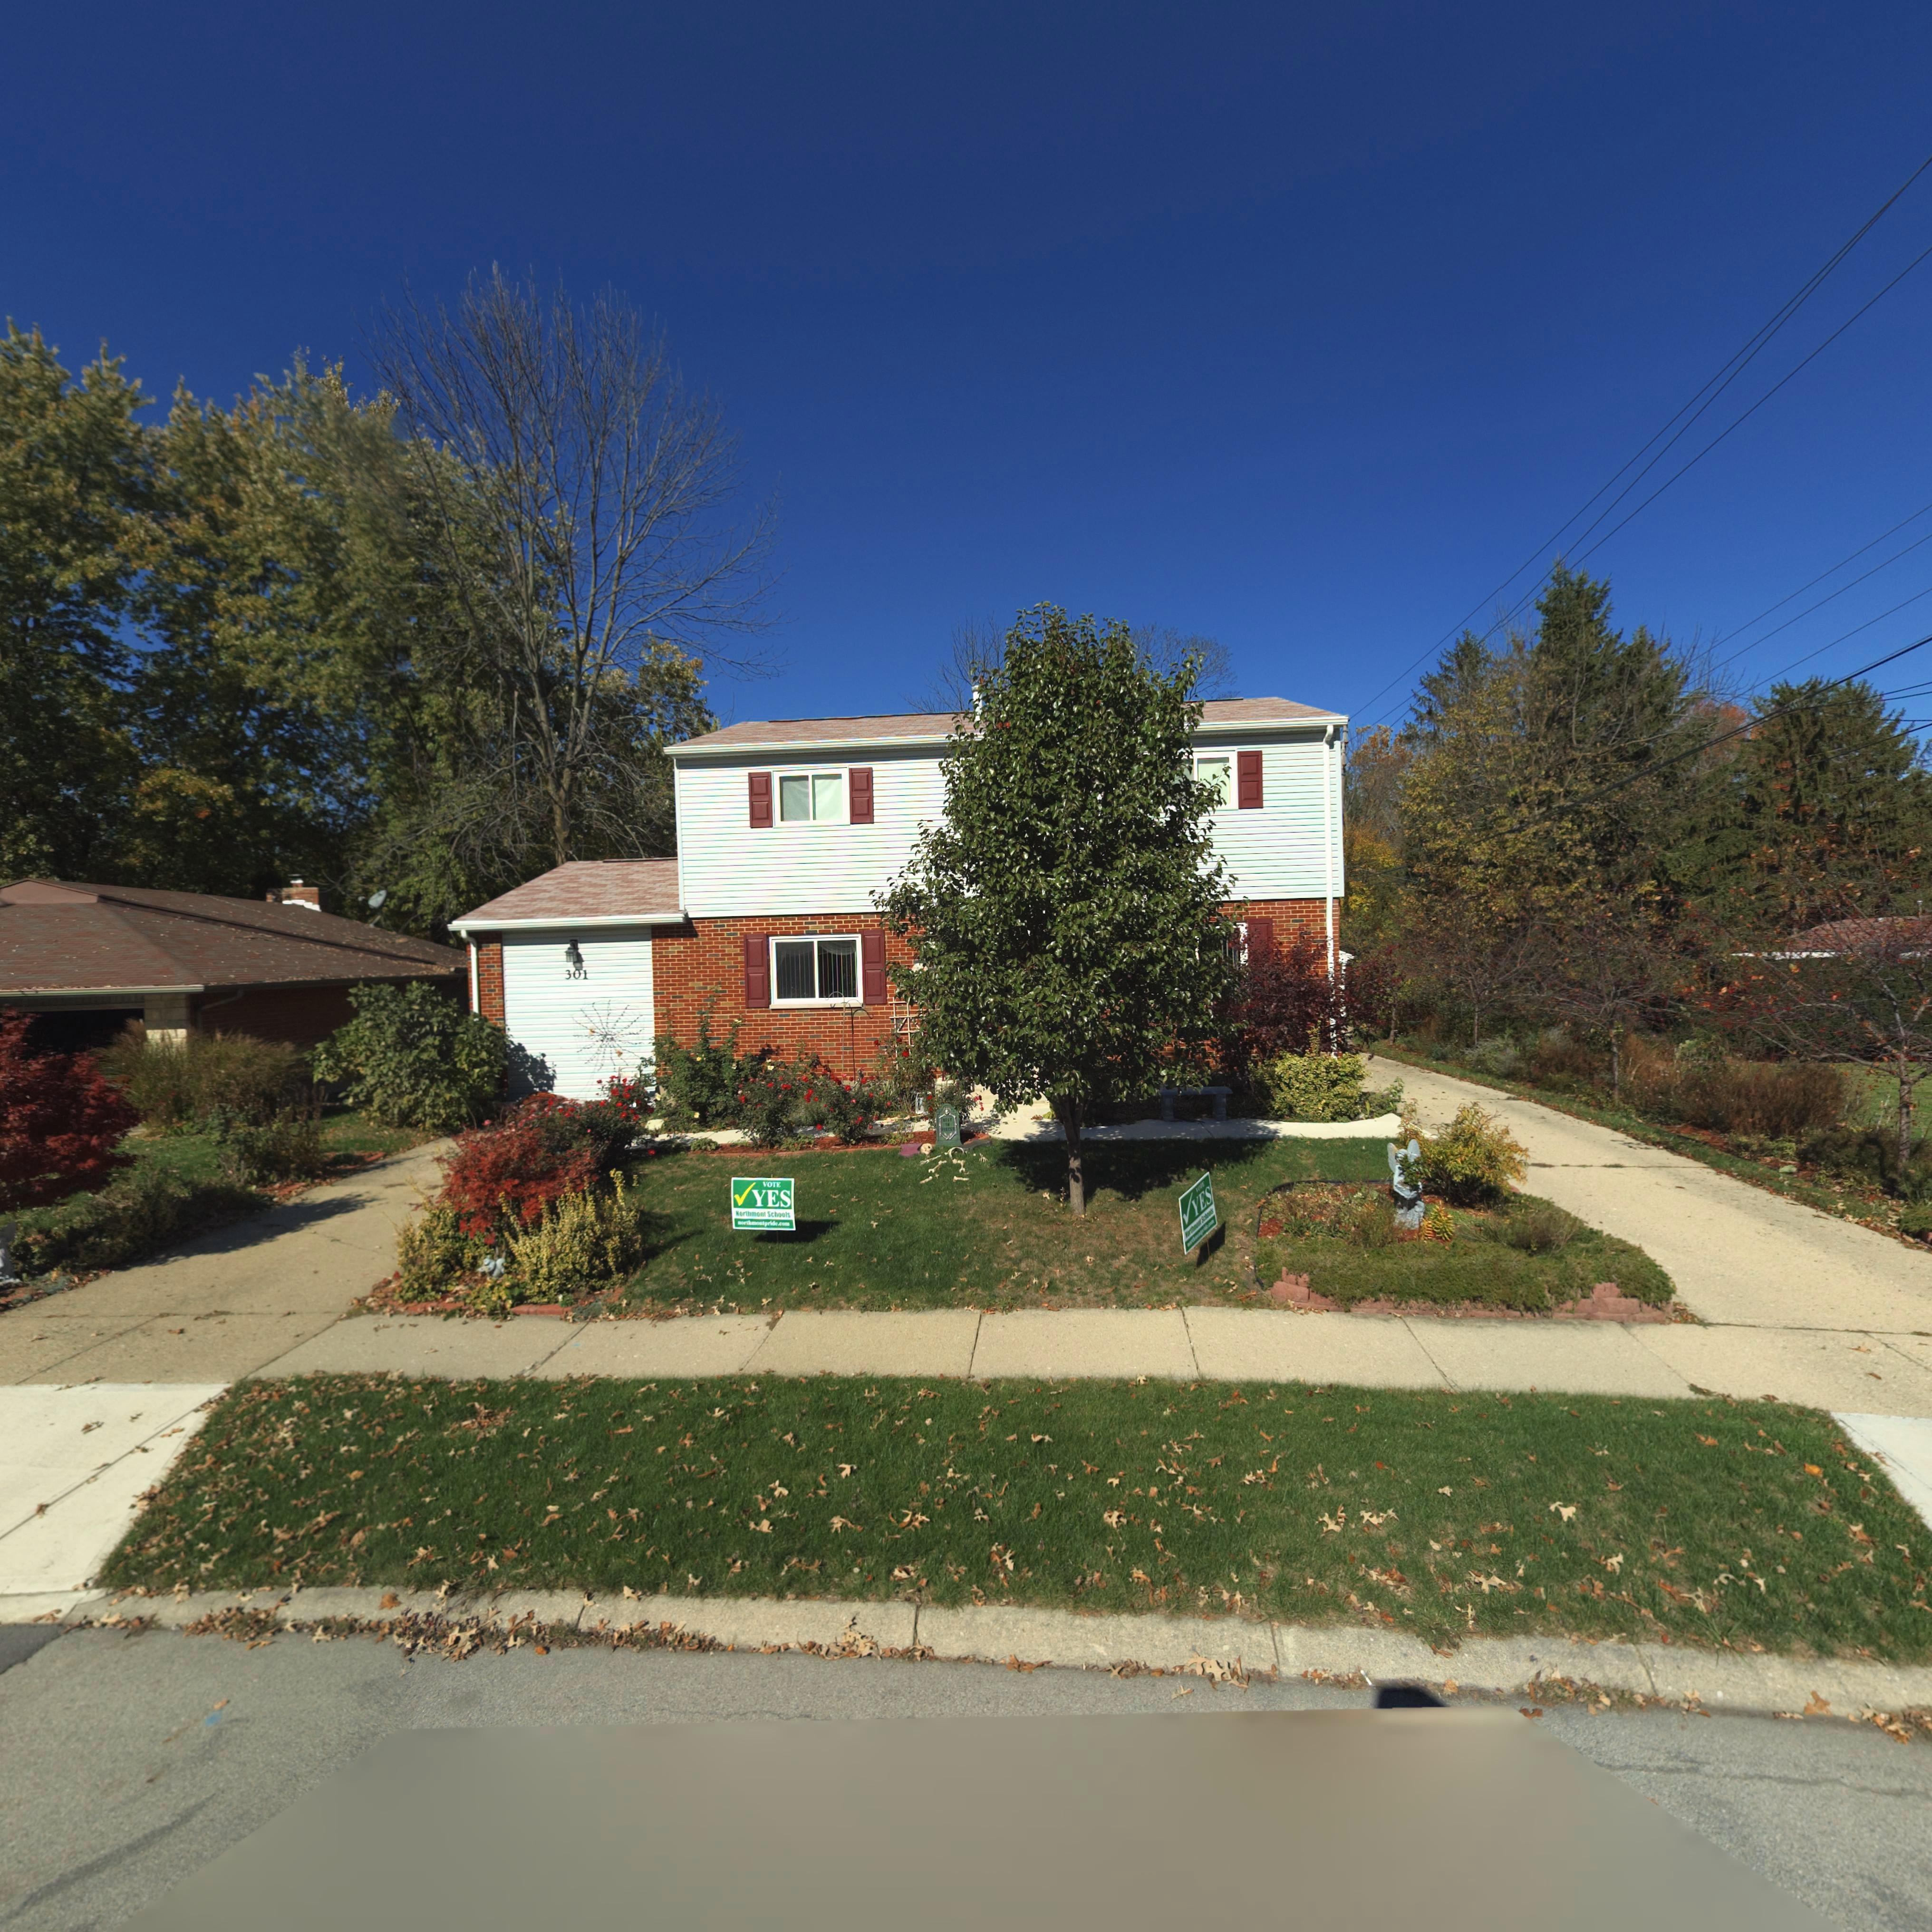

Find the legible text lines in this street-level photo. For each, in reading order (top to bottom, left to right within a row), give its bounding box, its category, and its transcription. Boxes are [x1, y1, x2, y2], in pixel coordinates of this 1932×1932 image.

[564, 969, 589, 980] StreetNumber: 301